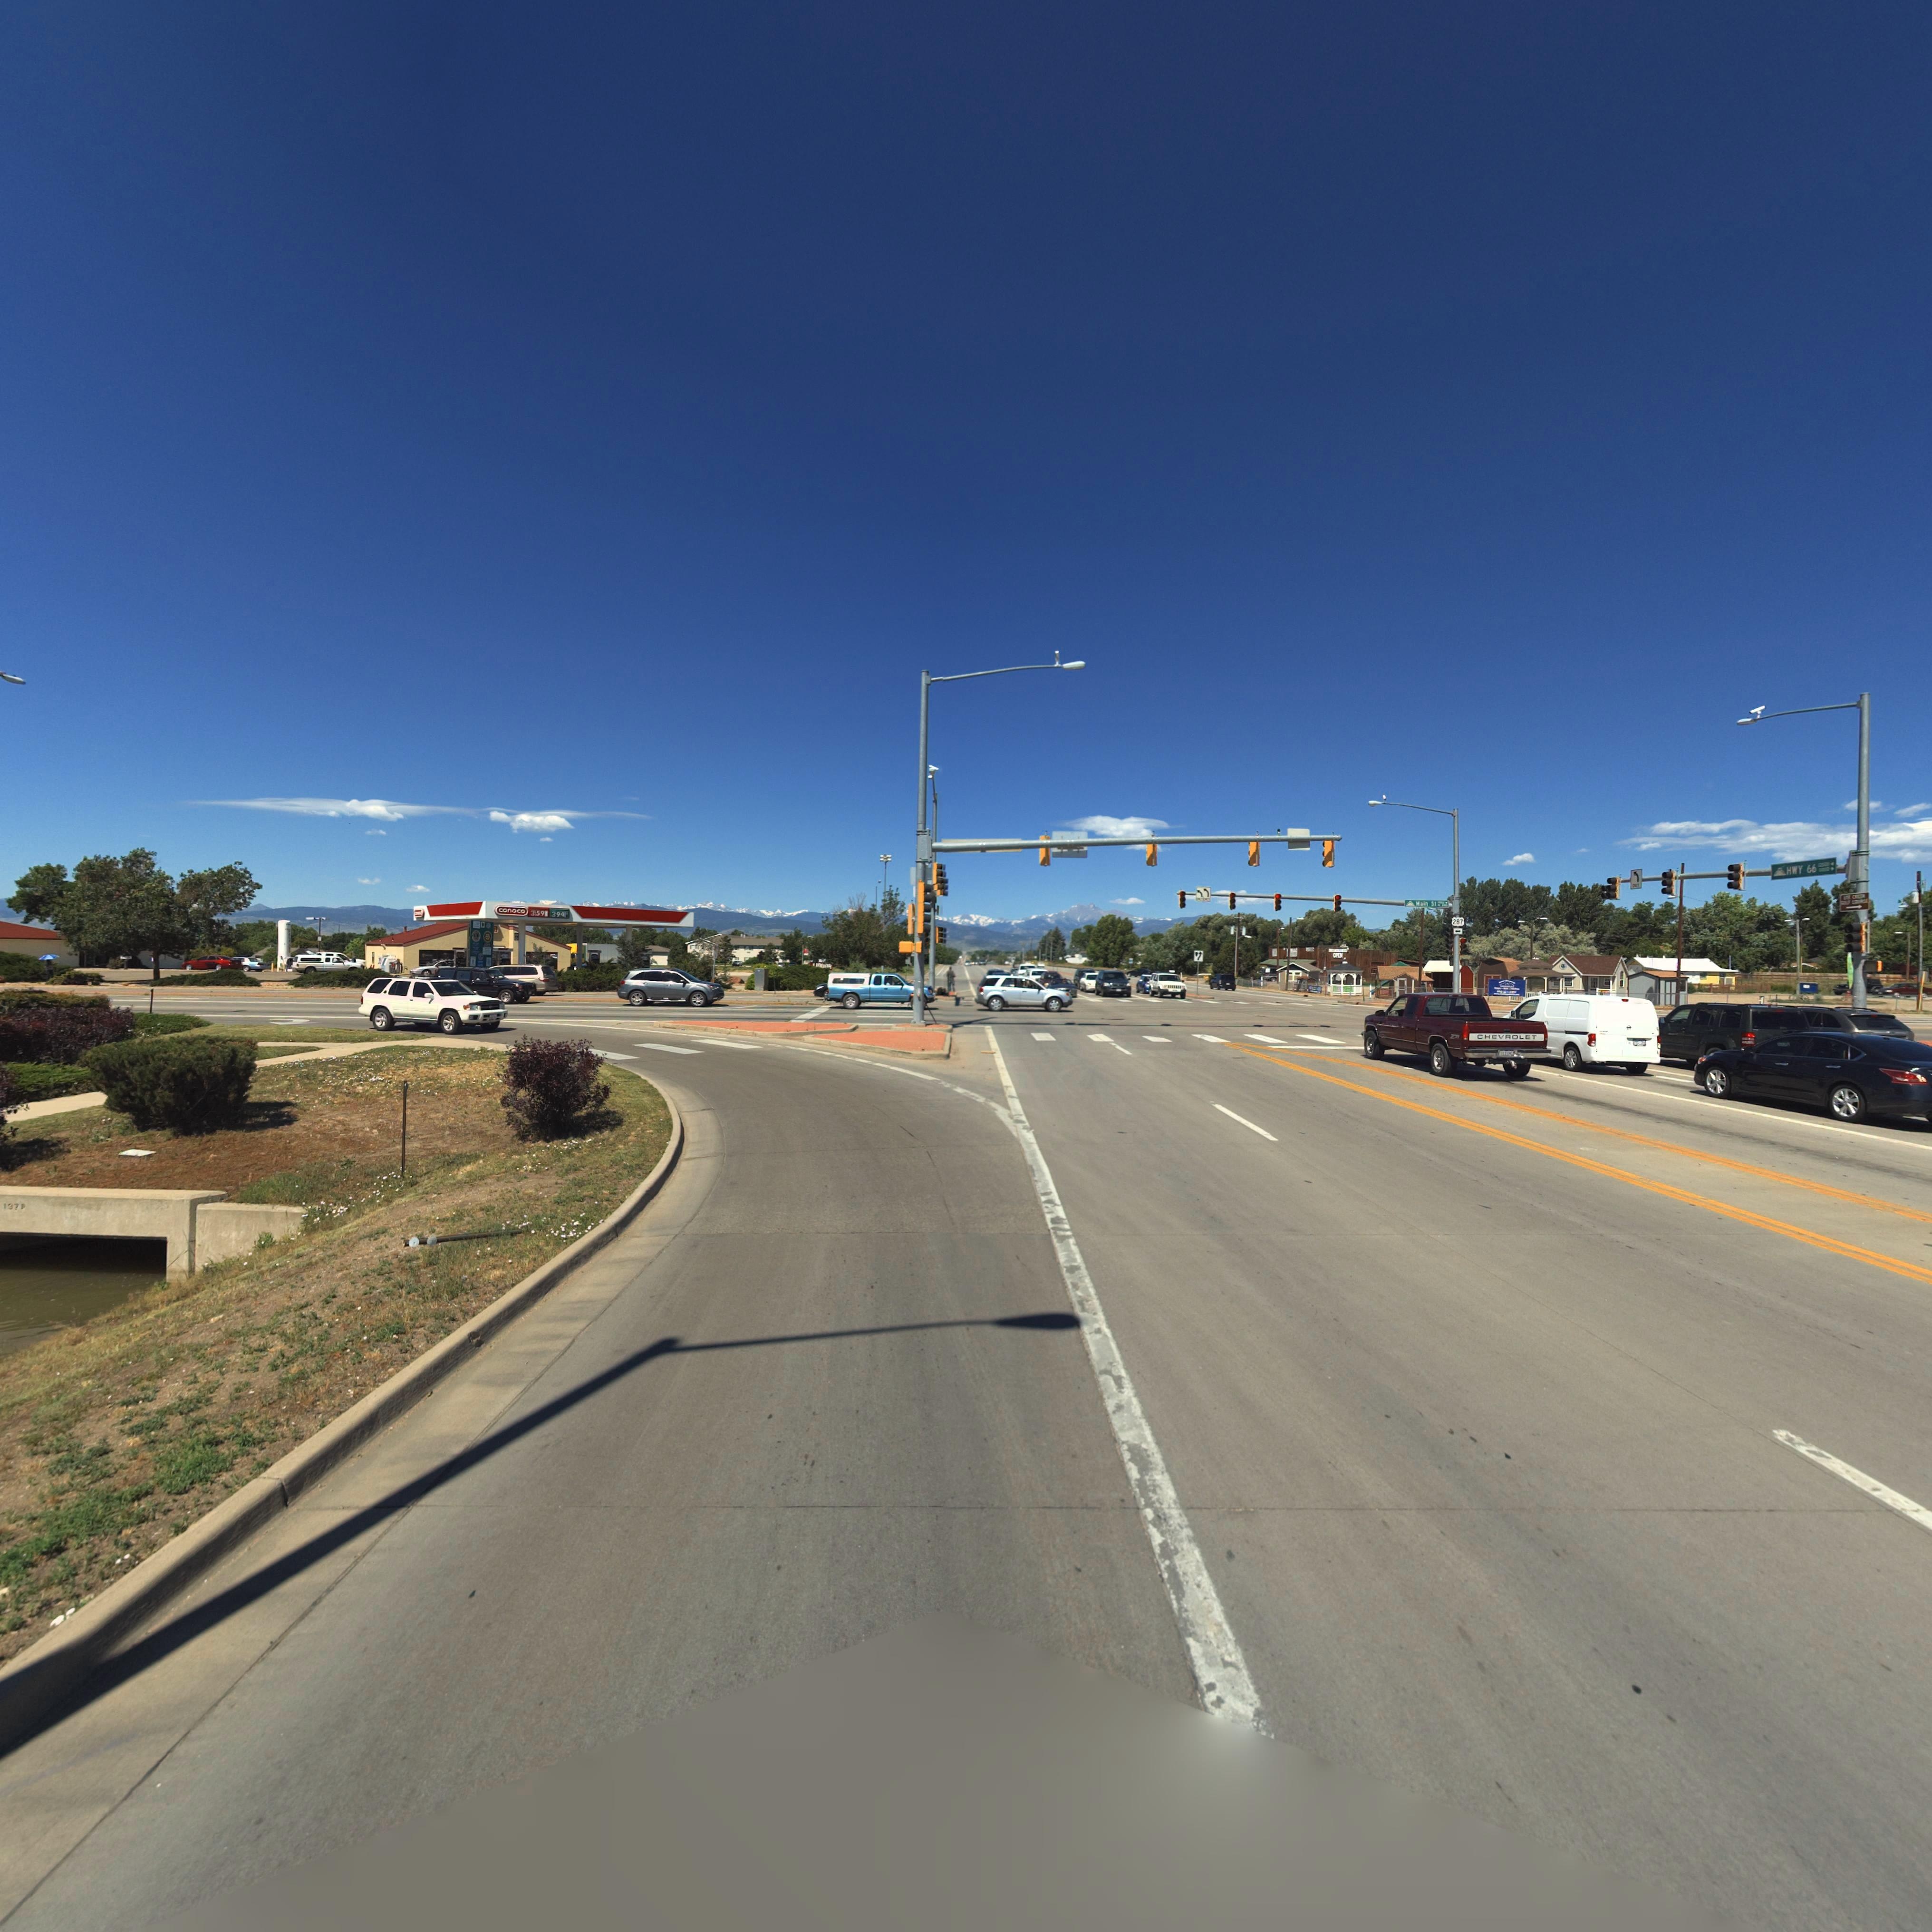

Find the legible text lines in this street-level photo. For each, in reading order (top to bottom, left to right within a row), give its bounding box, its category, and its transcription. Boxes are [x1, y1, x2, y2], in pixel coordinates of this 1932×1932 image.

[1786, 863, 1816, 875] StreetName: HWY 66
[1415, 901, 1436, 906] StreetName: Main St
[498, 908, 525, 914] BusinessName: conoco